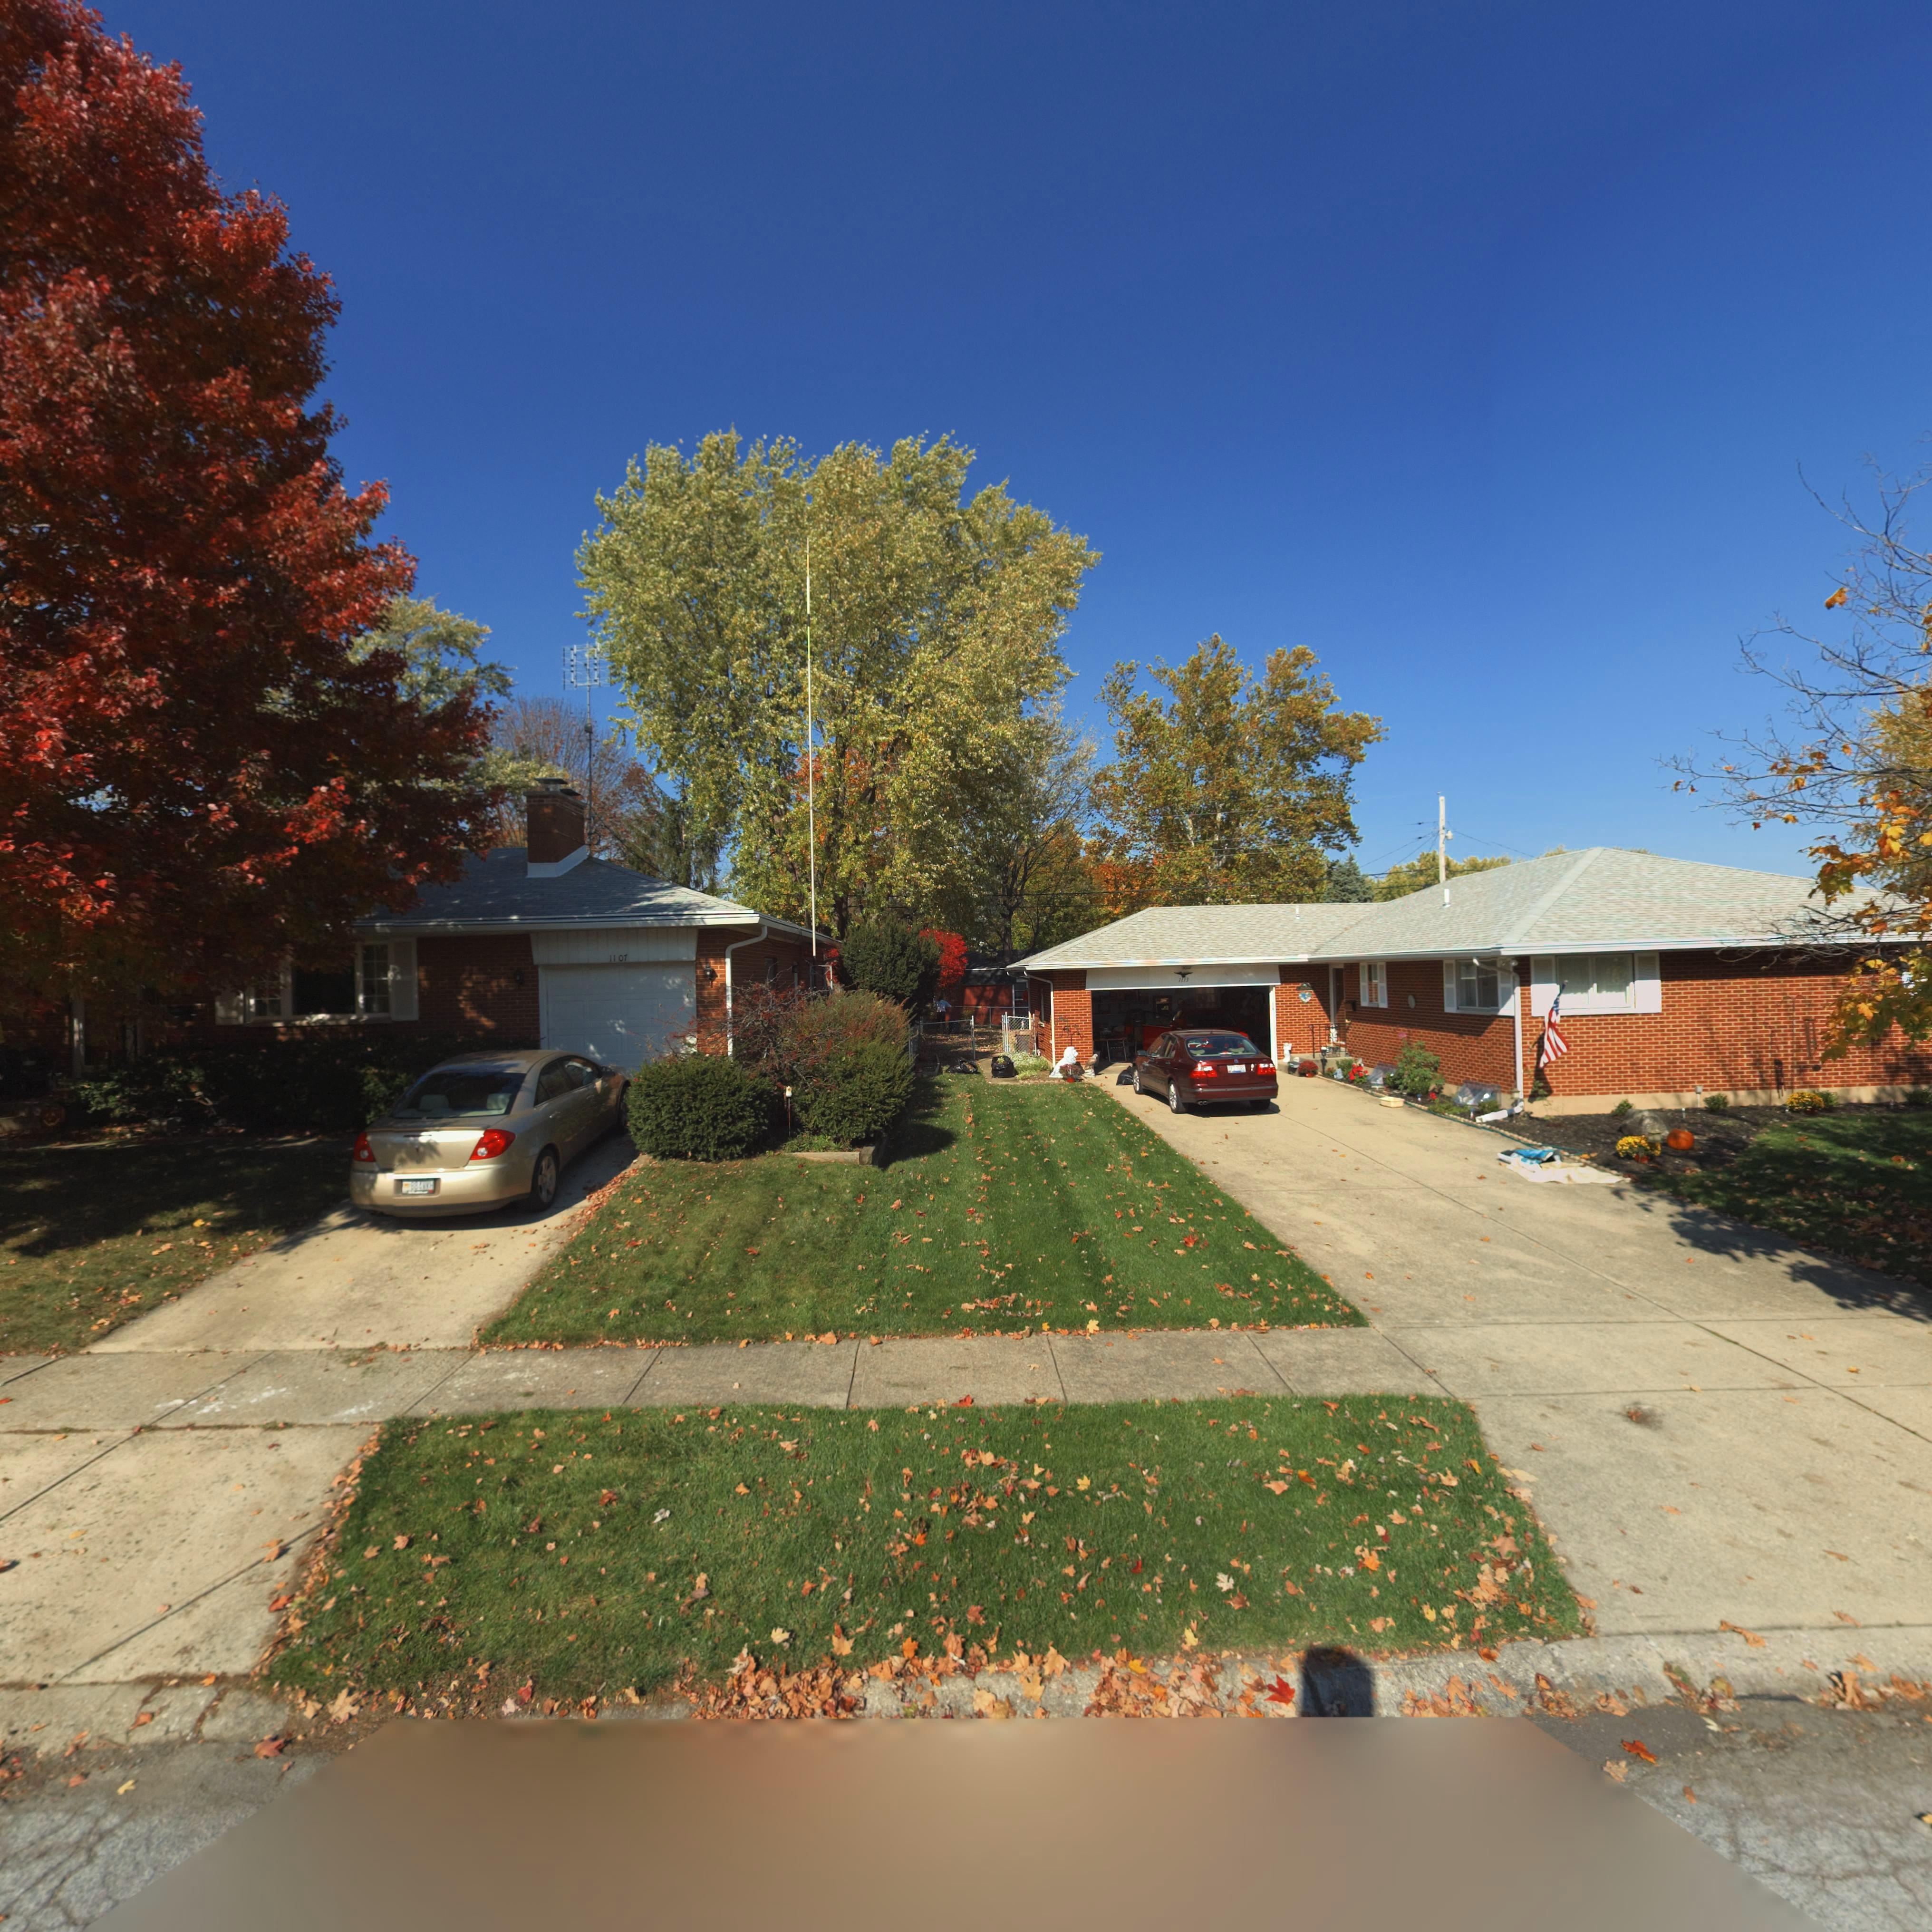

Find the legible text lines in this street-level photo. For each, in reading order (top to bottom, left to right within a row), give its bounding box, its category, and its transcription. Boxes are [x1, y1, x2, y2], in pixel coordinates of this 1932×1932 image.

[608, 952, 629, 964] StreetNumber: 1107
[1177, 976, 1190, 984] StreetNumber: 1113